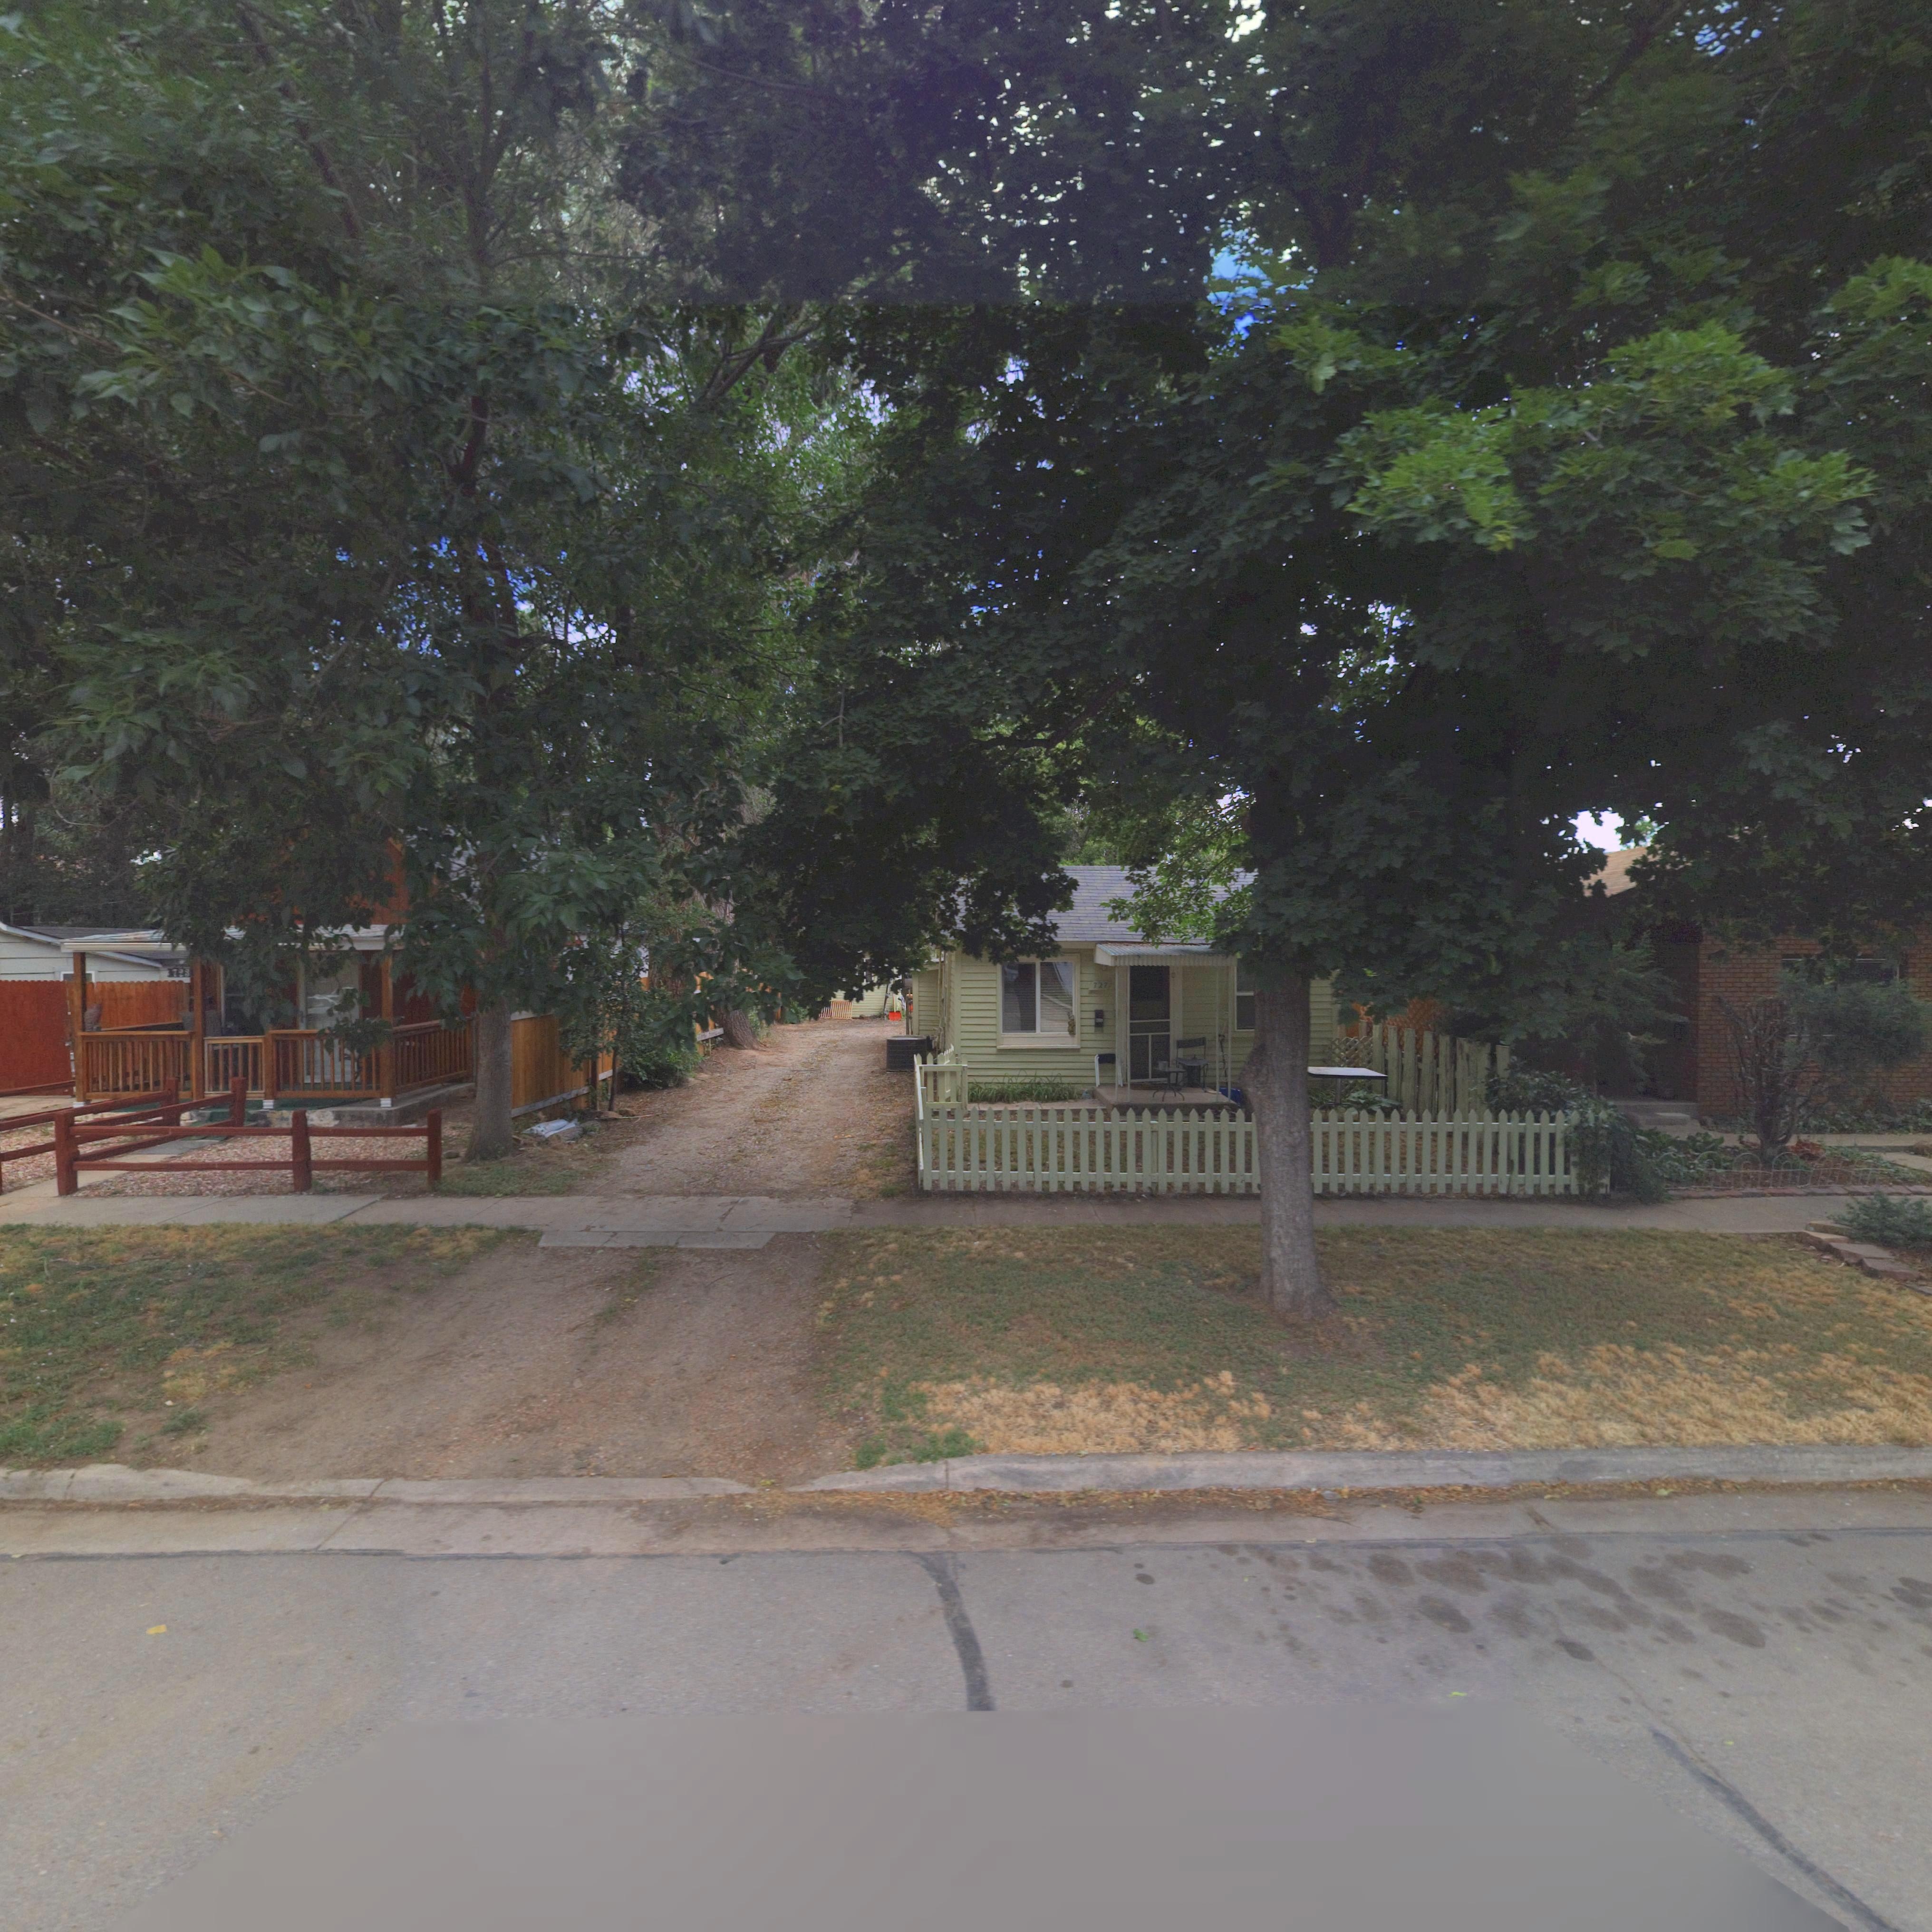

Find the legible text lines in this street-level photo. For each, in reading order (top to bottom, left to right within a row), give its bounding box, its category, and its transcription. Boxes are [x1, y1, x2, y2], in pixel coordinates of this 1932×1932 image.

[1093, 982, 1108, 988] StreetNumber: 727